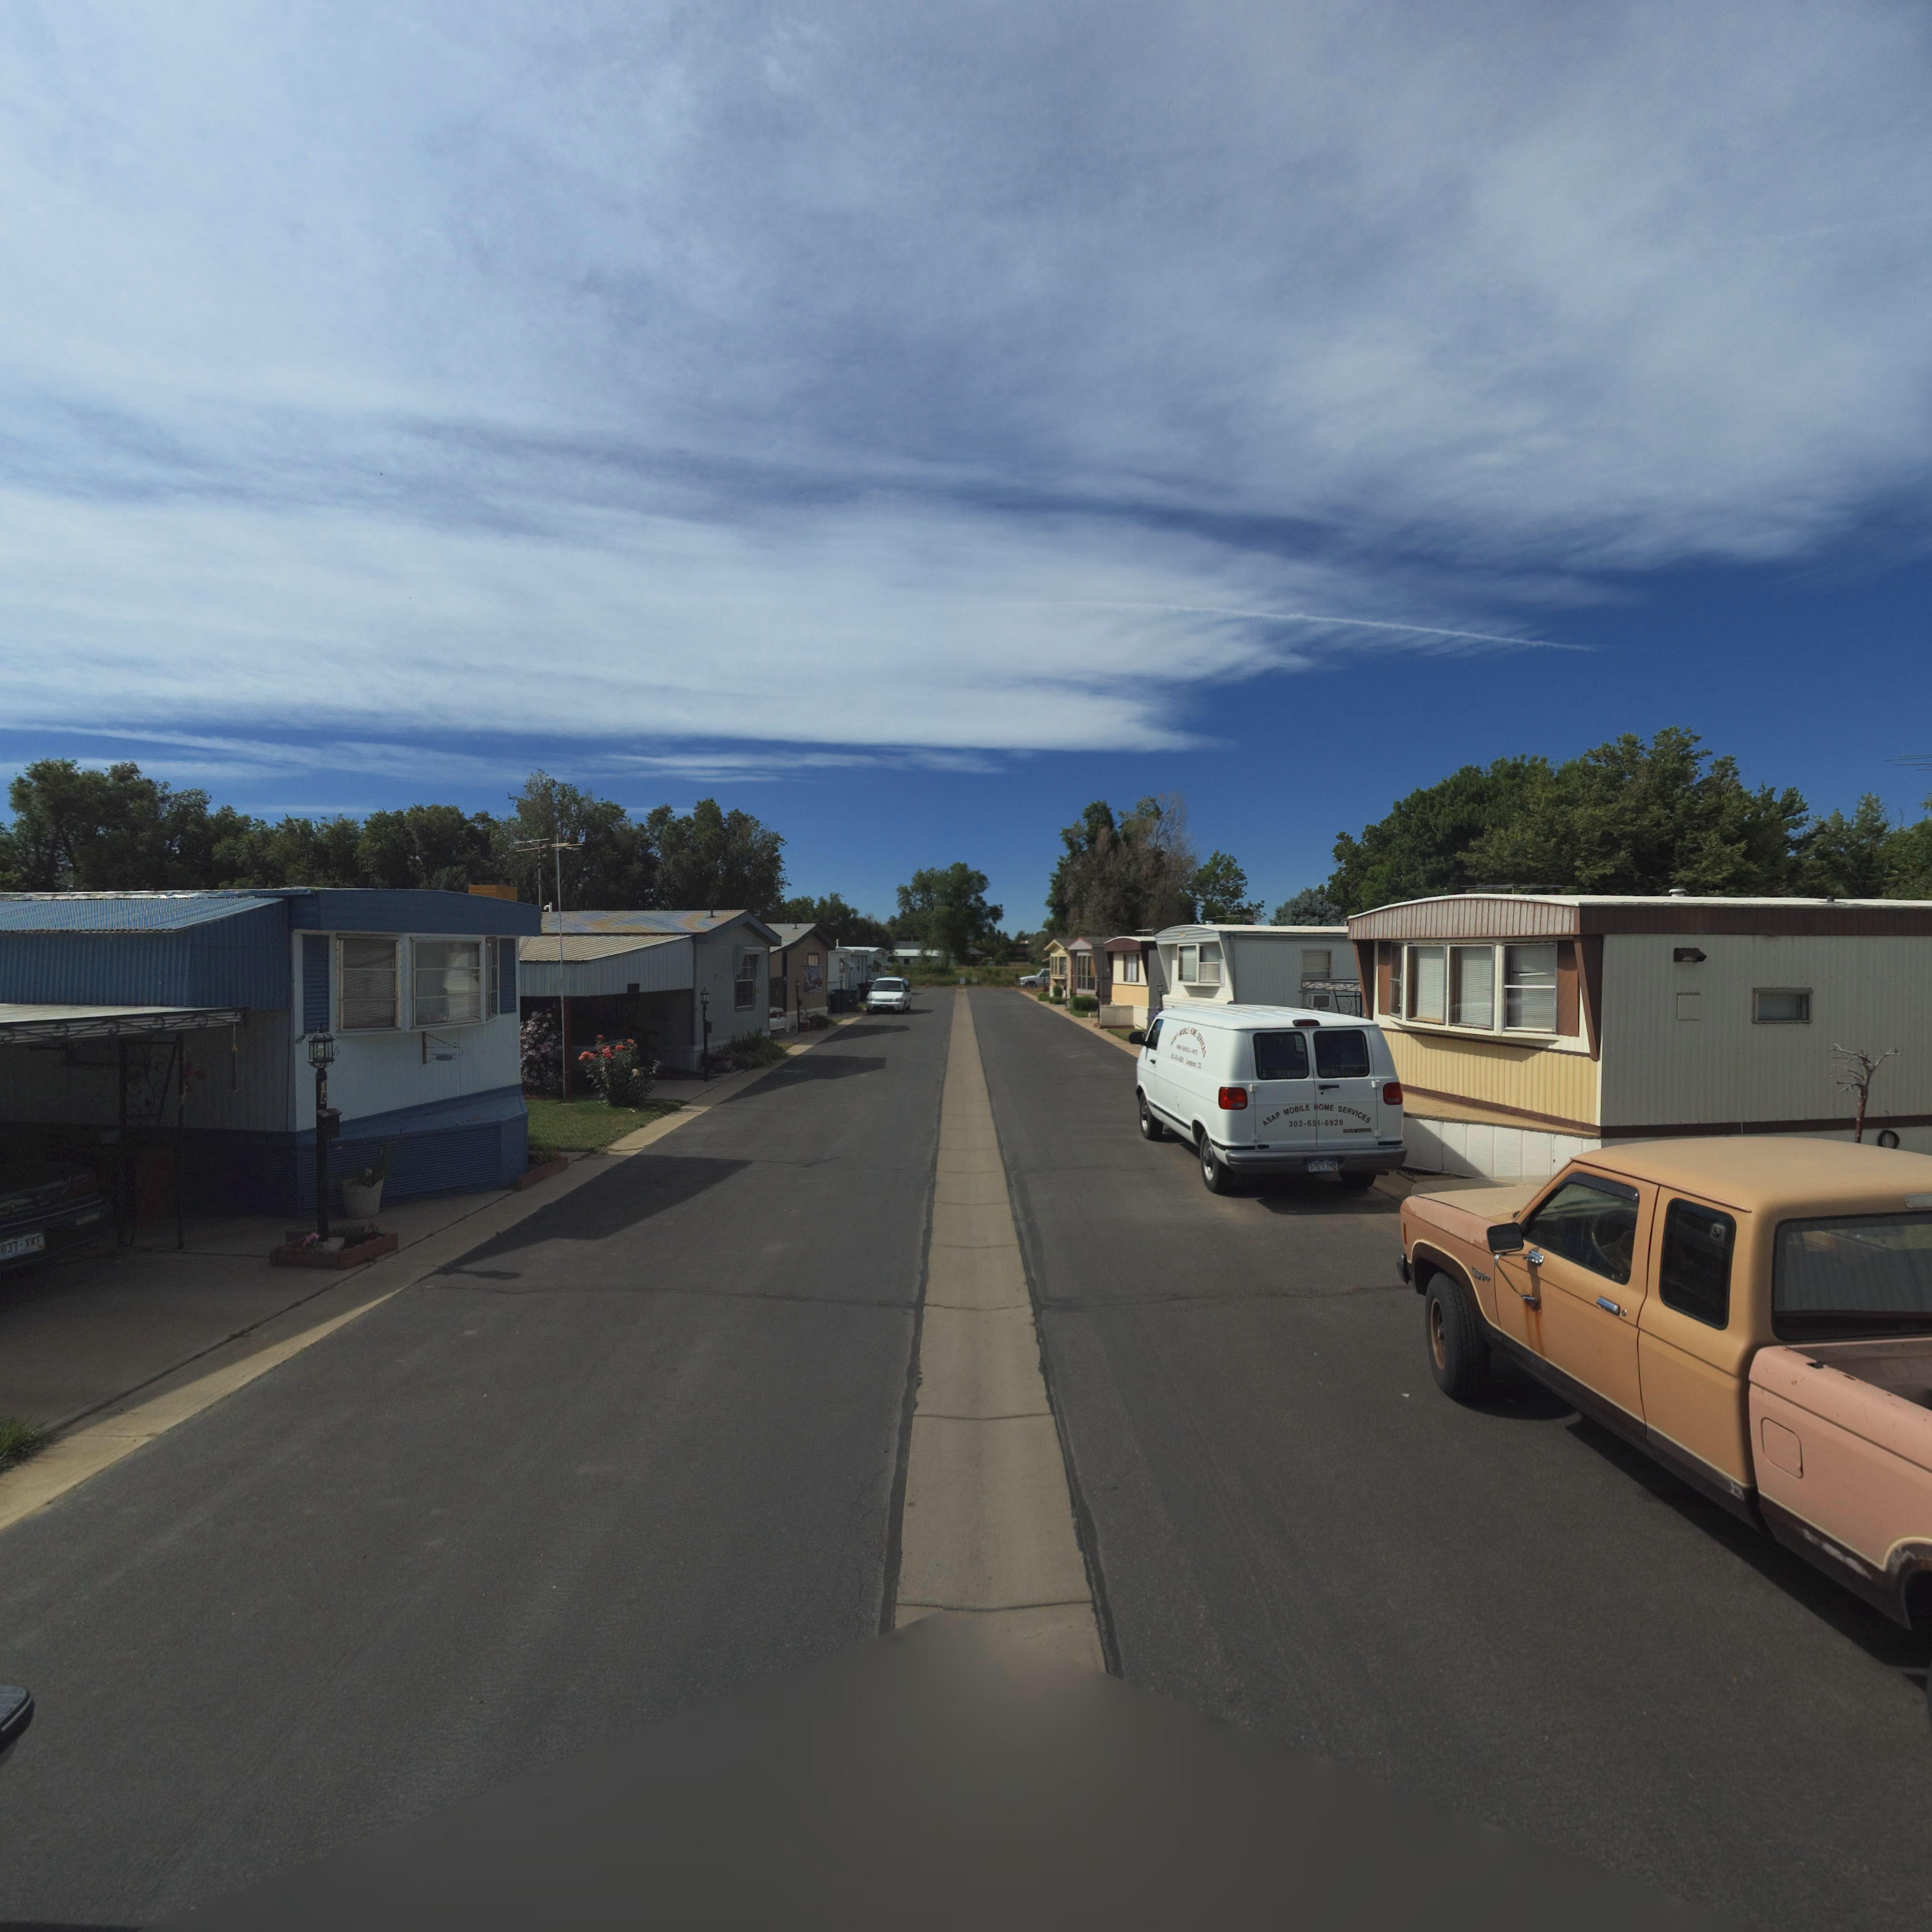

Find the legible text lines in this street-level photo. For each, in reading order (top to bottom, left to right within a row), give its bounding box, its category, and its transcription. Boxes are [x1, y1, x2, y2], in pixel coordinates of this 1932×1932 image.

[321, 1081, 327, 1103] StreetNumber: 18